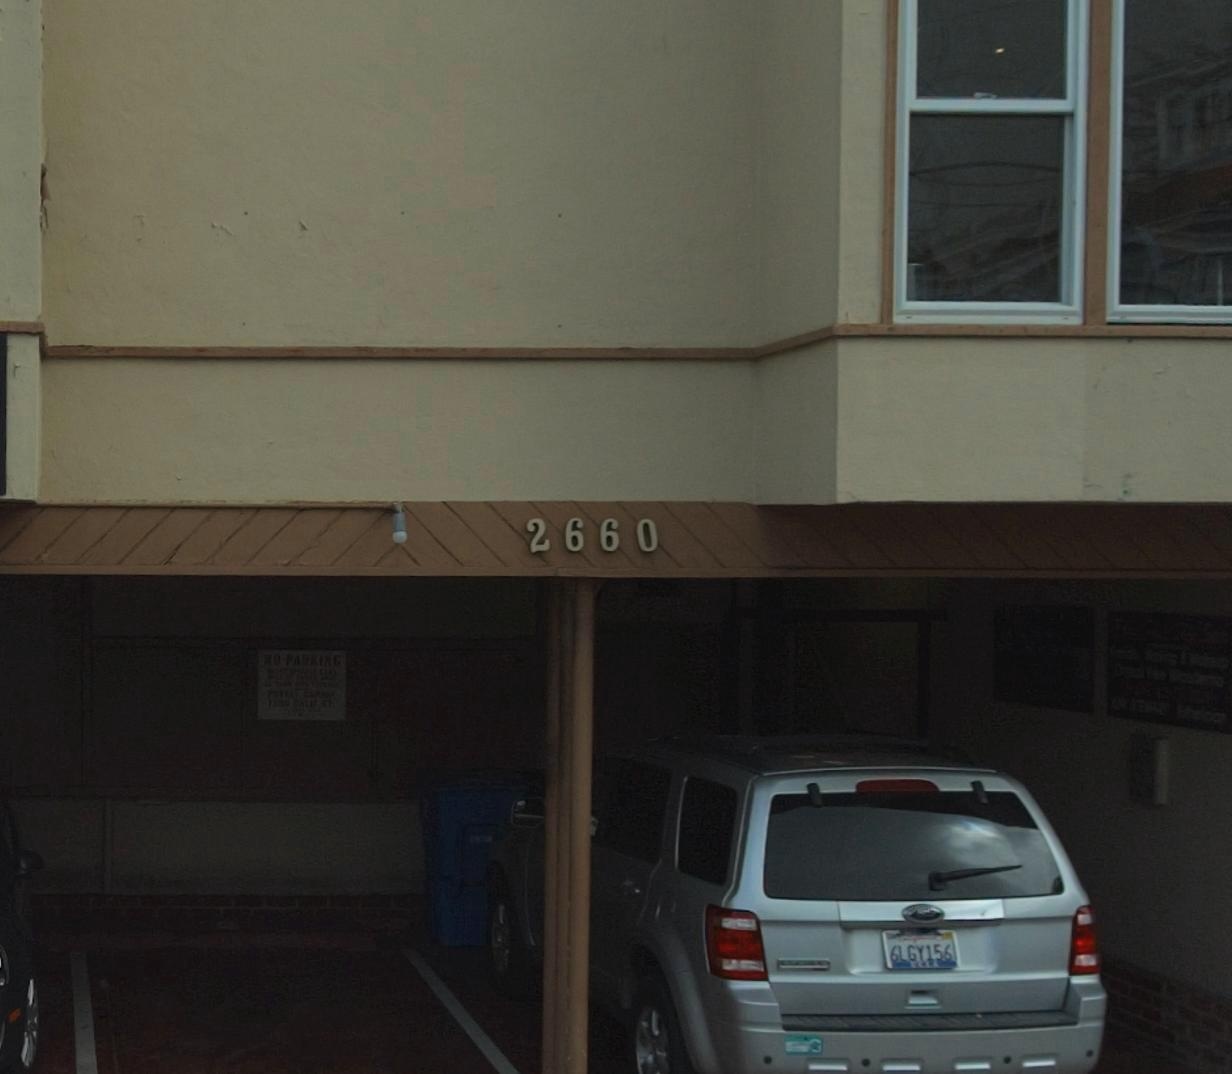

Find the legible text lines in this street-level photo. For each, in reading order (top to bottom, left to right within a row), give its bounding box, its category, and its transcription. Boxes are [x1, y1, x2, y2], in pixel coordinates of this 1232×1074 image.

[524, 515, 662, 557] StreetNumber: 2660
[262, 651, 343, 670] None: *O P***I*G
[887, 941, 955, 966] None: 6LGY156